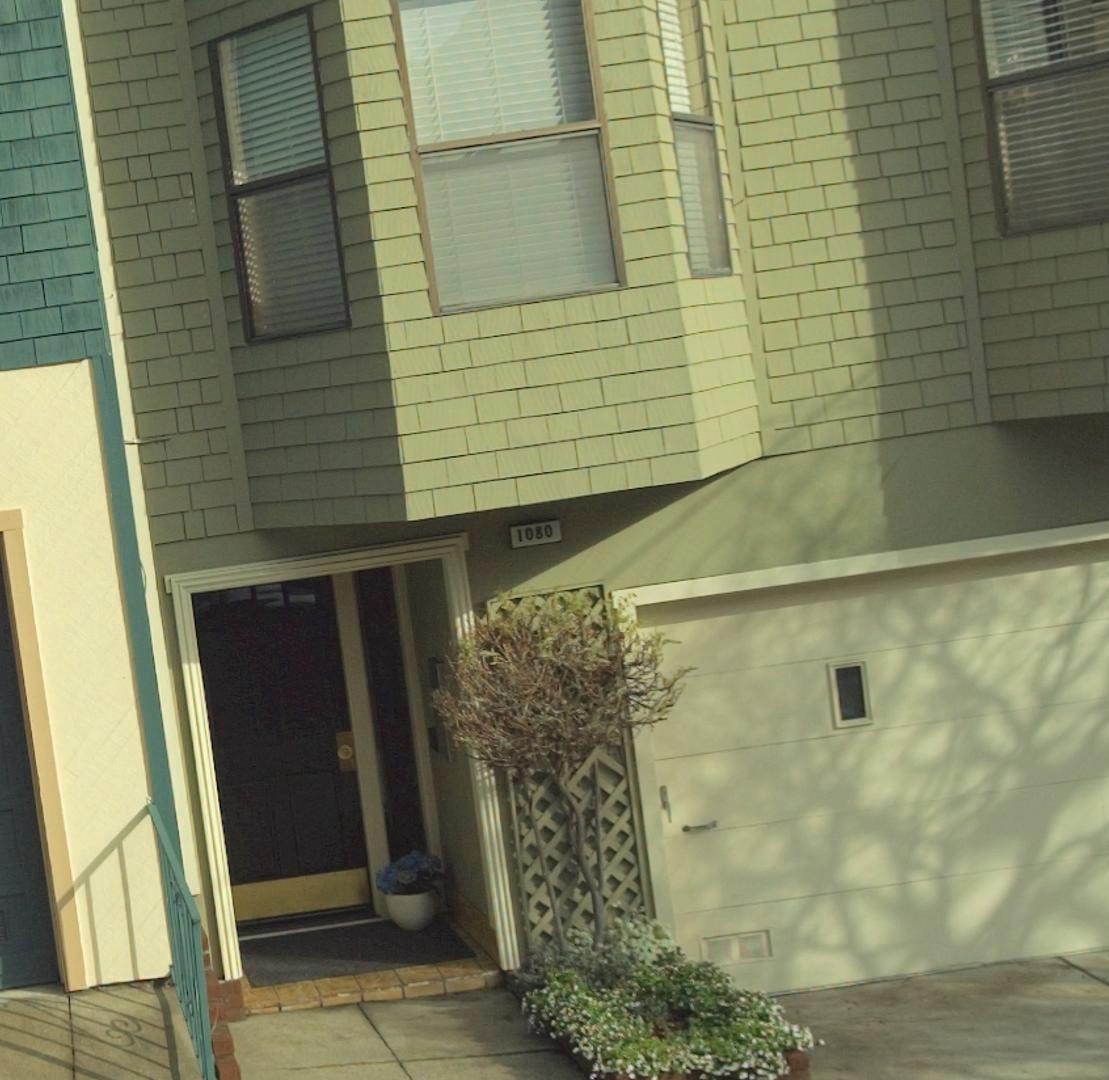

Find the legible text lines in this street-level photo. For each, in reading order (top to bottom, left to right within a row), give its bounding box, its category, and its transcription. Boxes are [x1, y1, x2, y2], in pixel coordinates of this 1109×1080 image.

[515, 521, 556, 545] StreetNumber: 1080